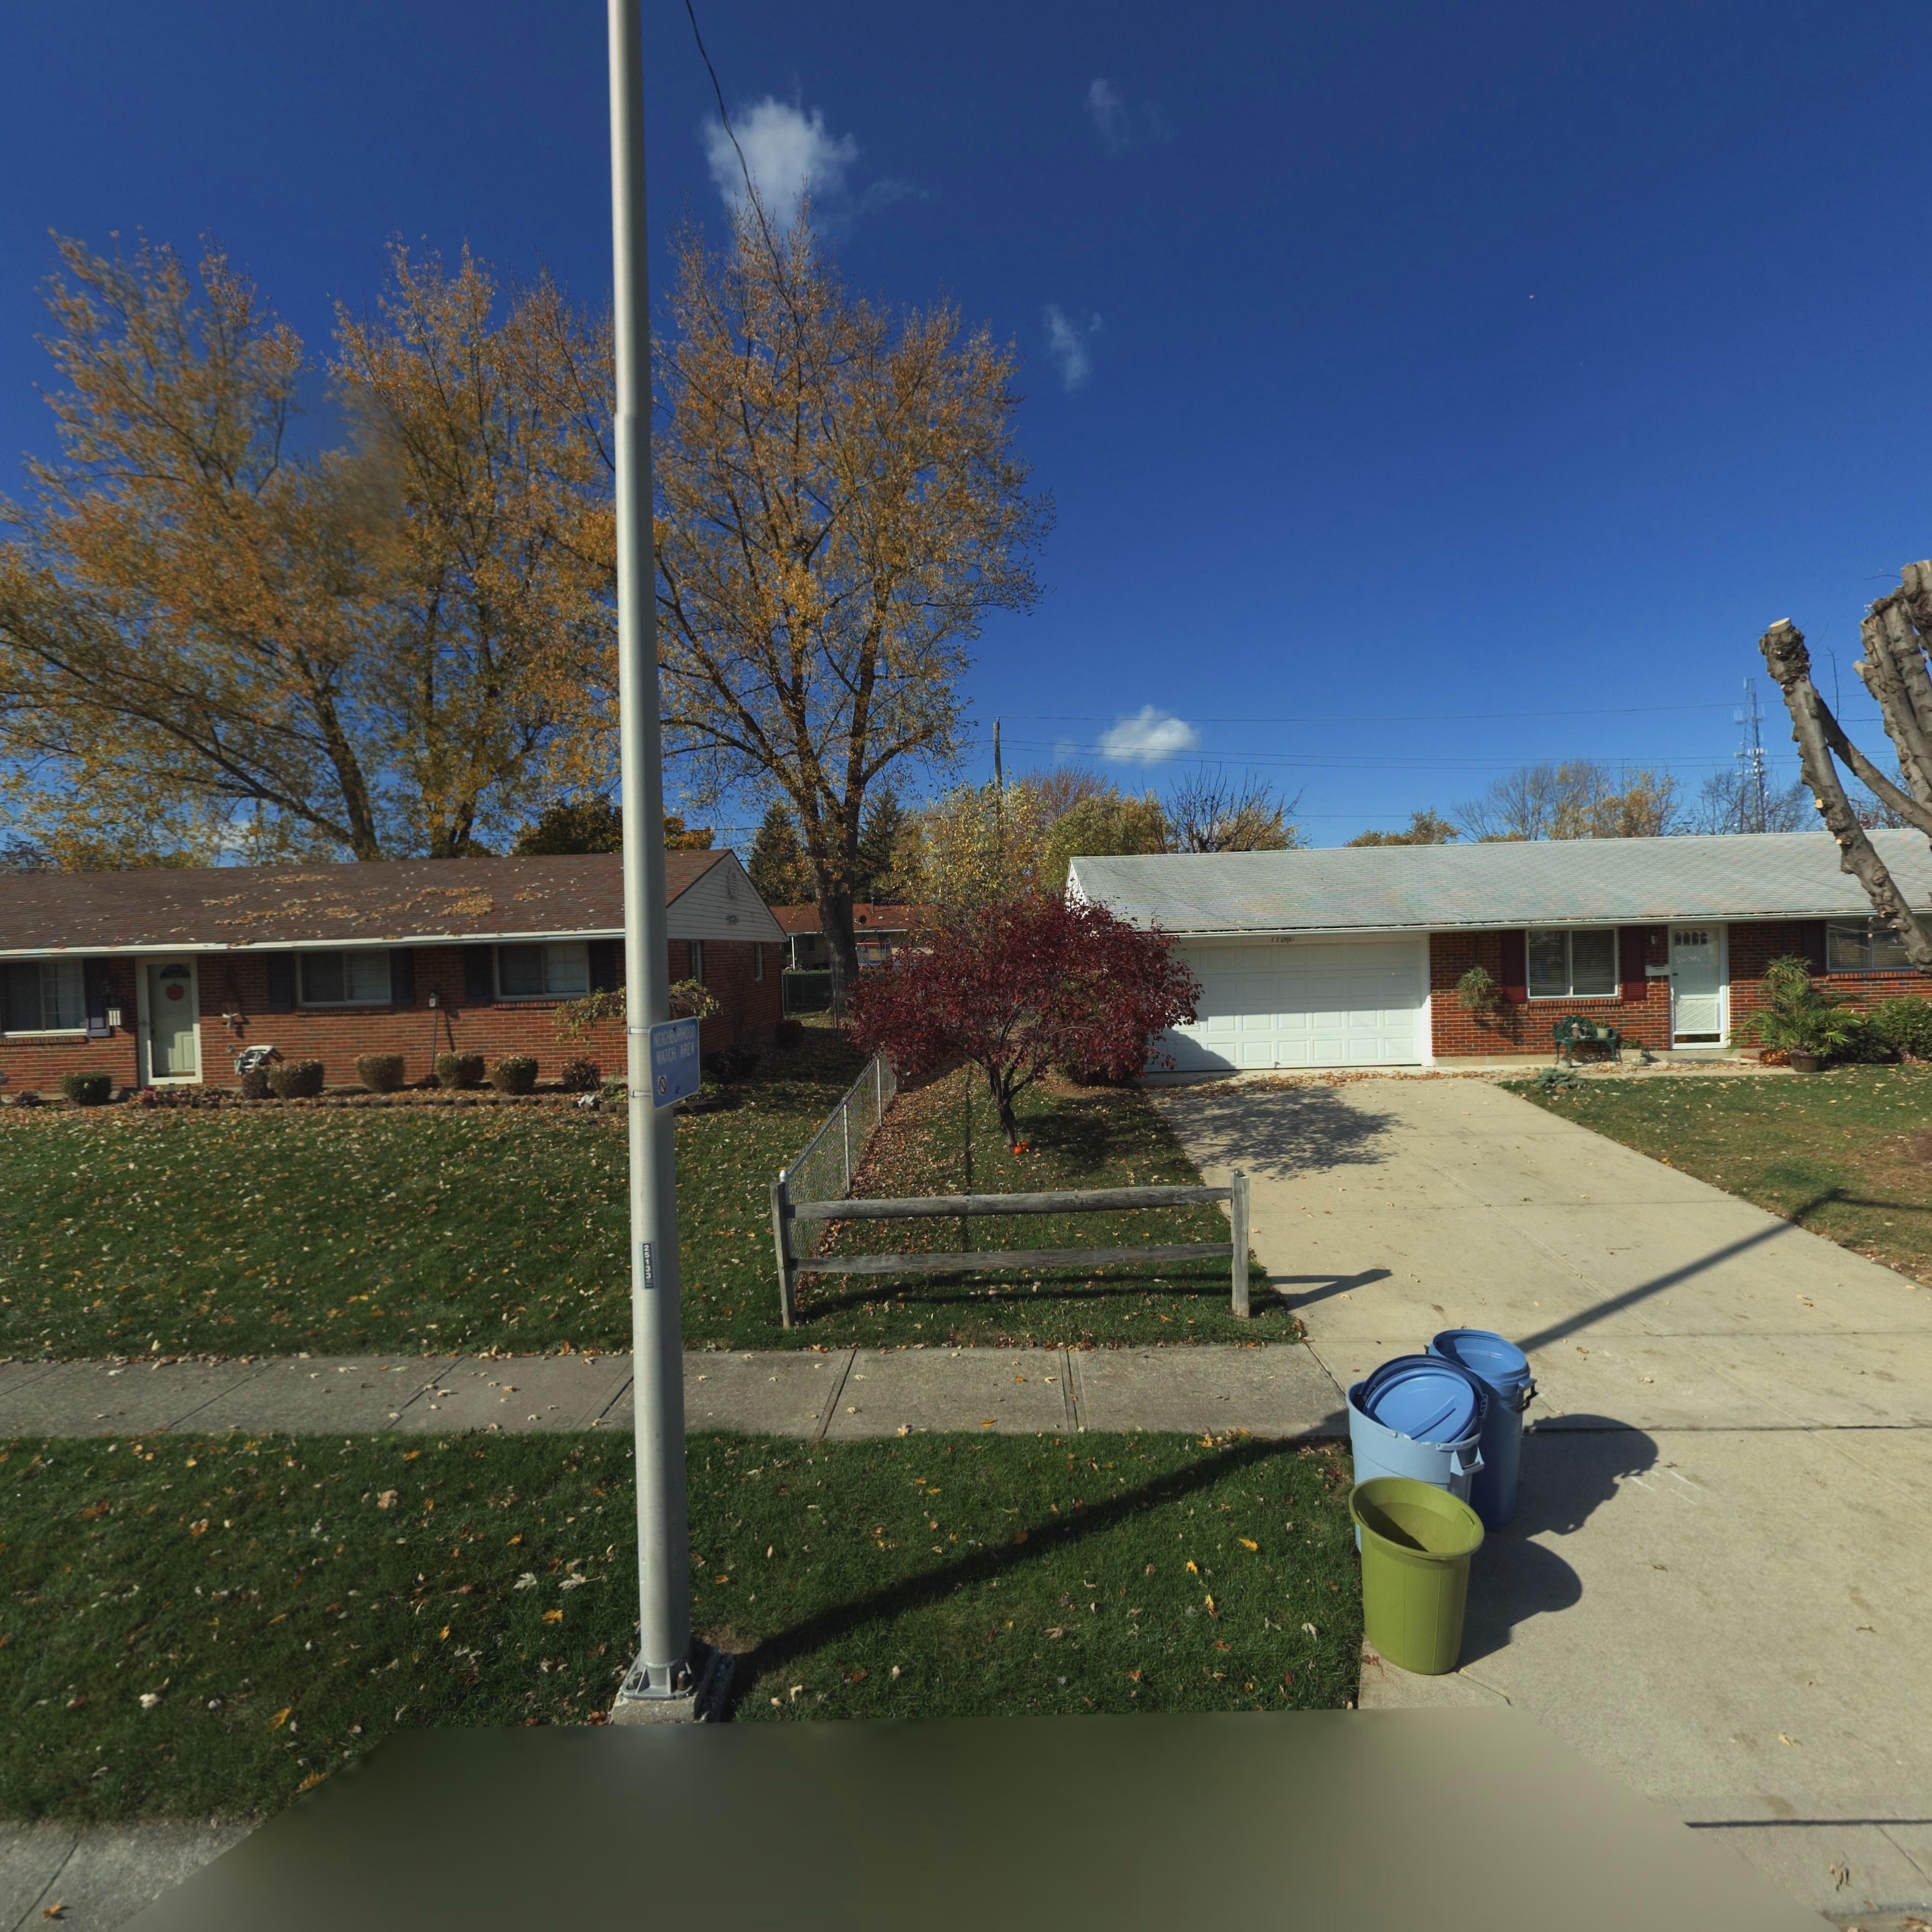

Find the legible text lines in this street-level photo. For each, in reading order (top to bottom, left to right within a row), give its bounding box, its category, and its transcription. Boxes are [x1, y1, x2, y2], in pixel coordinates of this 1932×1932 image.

[1270, 936, 1281, 944] StreetNumber: 77